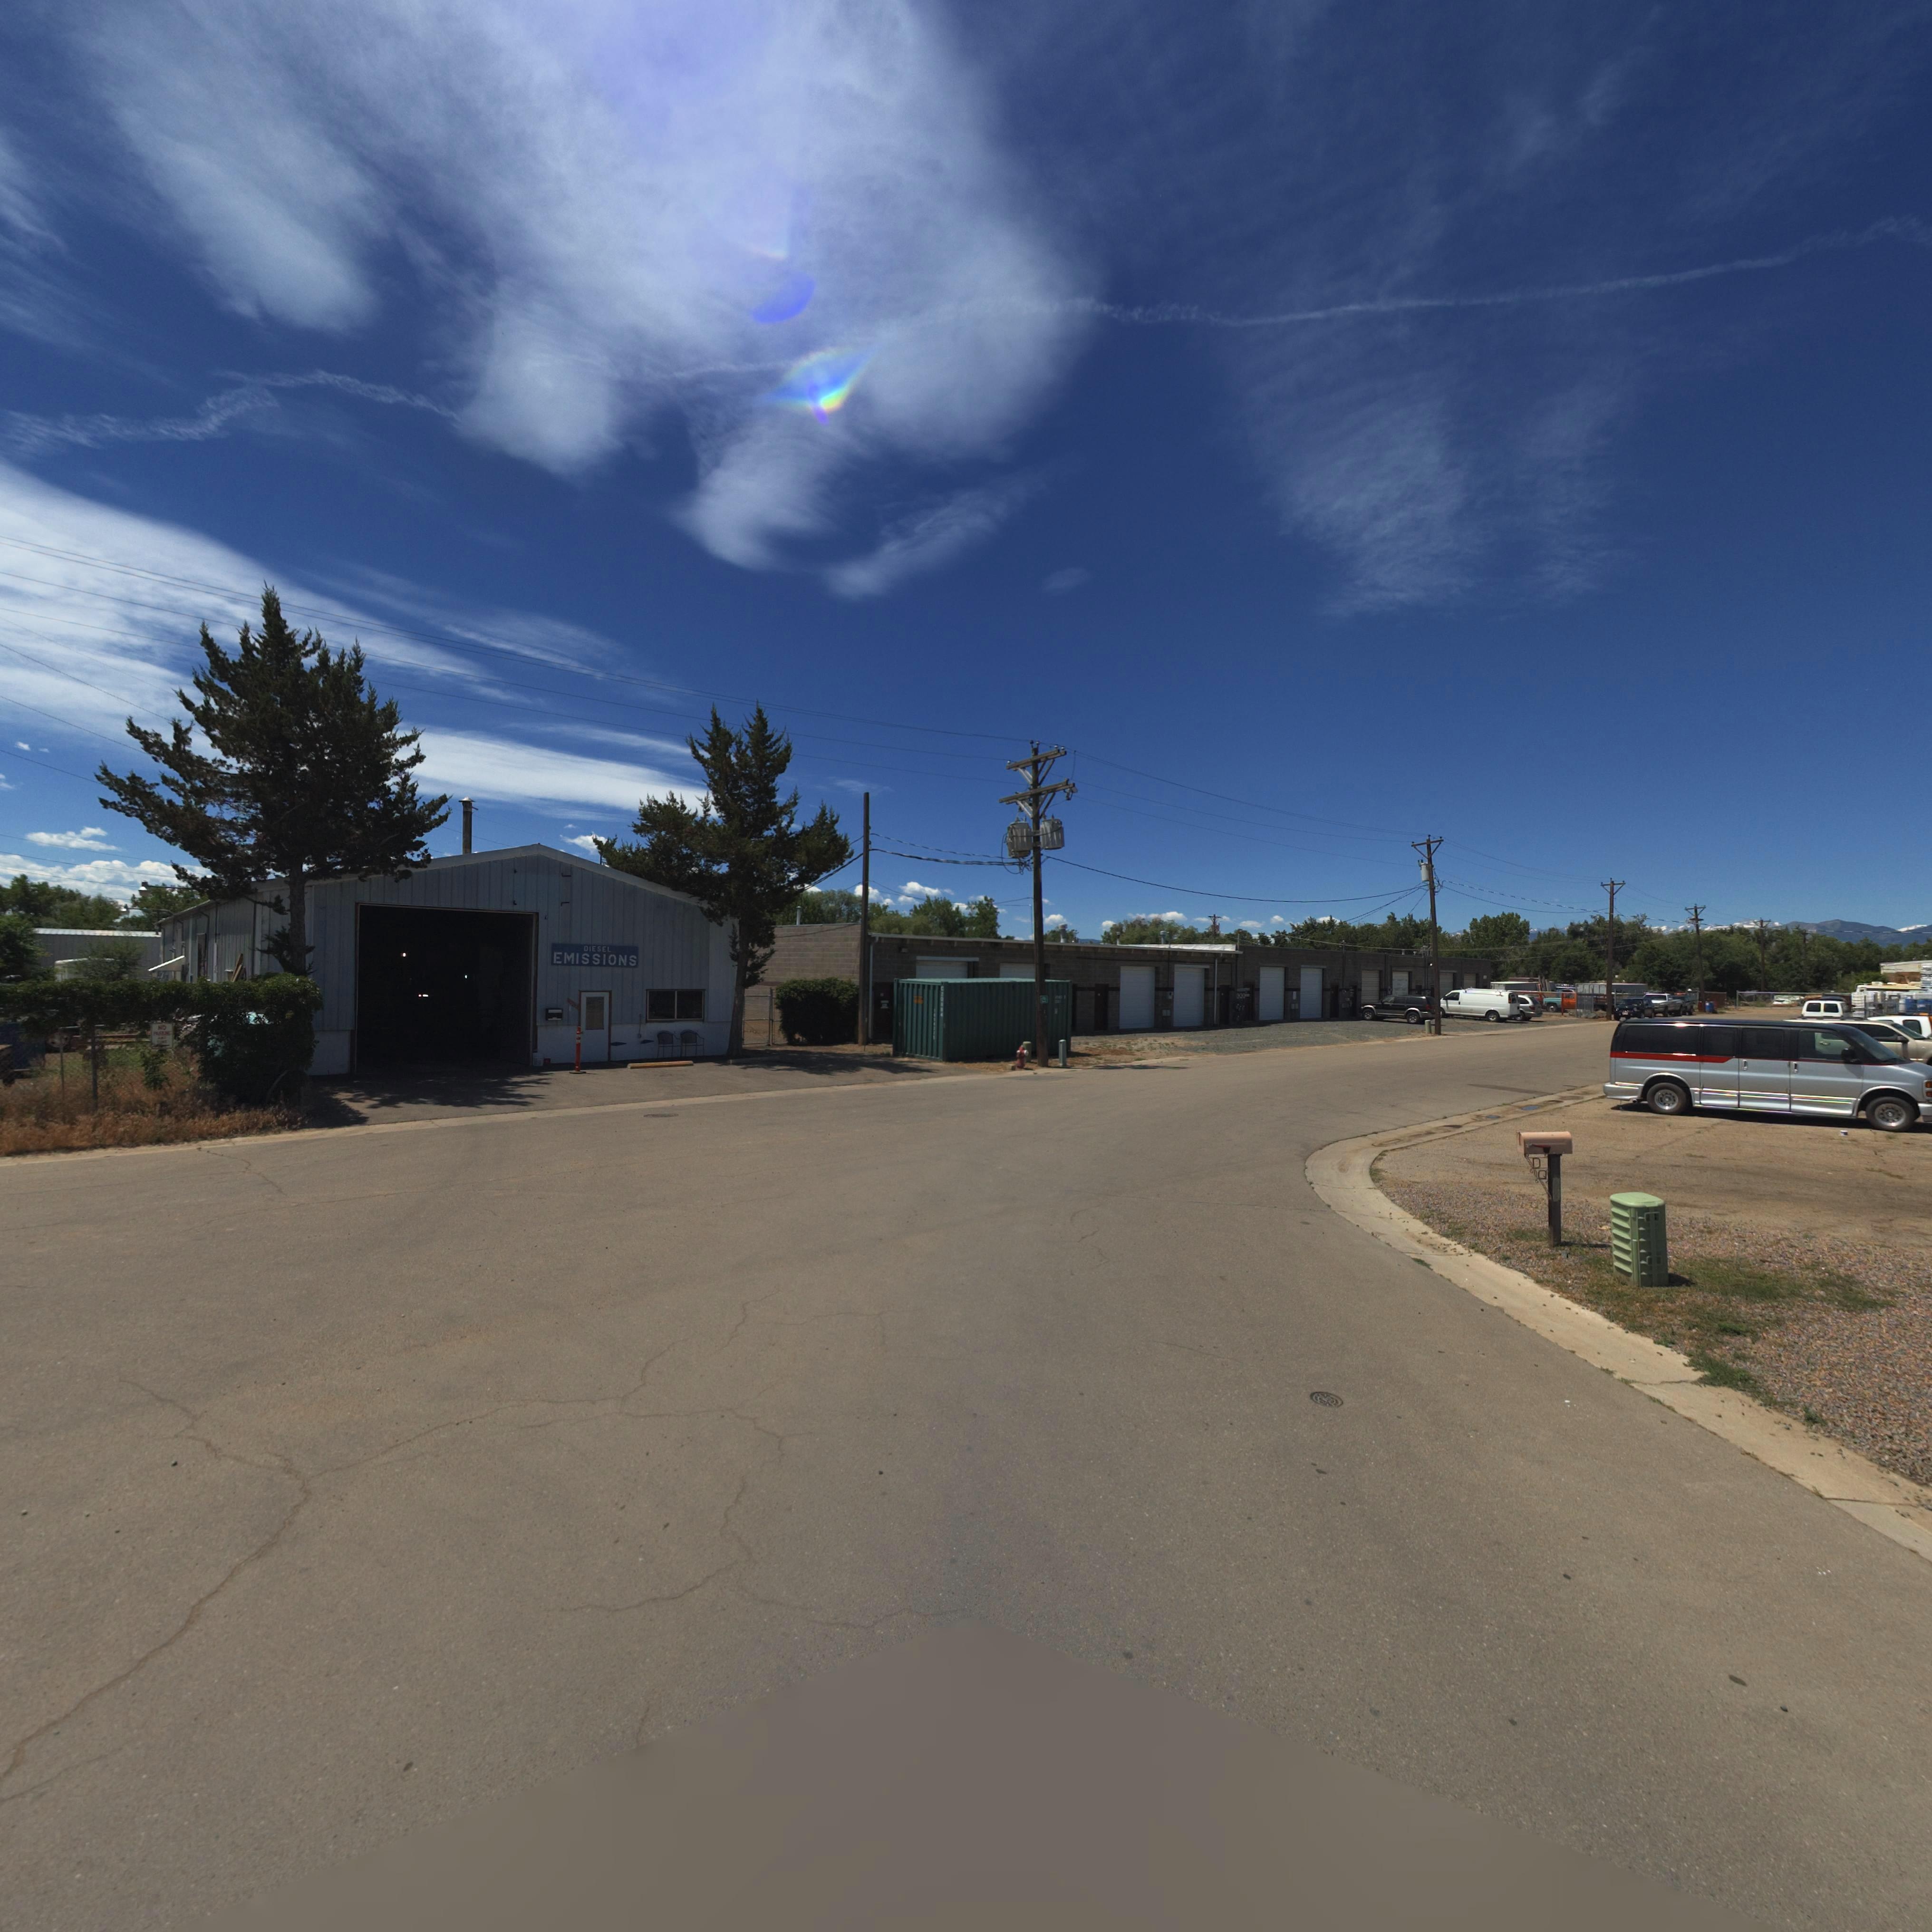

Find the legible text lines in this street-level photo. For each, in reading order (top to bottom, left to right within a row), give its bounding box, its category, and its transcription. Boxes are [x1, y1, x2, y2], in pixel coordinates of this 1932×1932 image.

[583, 945, 611, 953] BusinessName: DIESEL
[552, 951, 637, 966] BusinessName: EMISSIONS